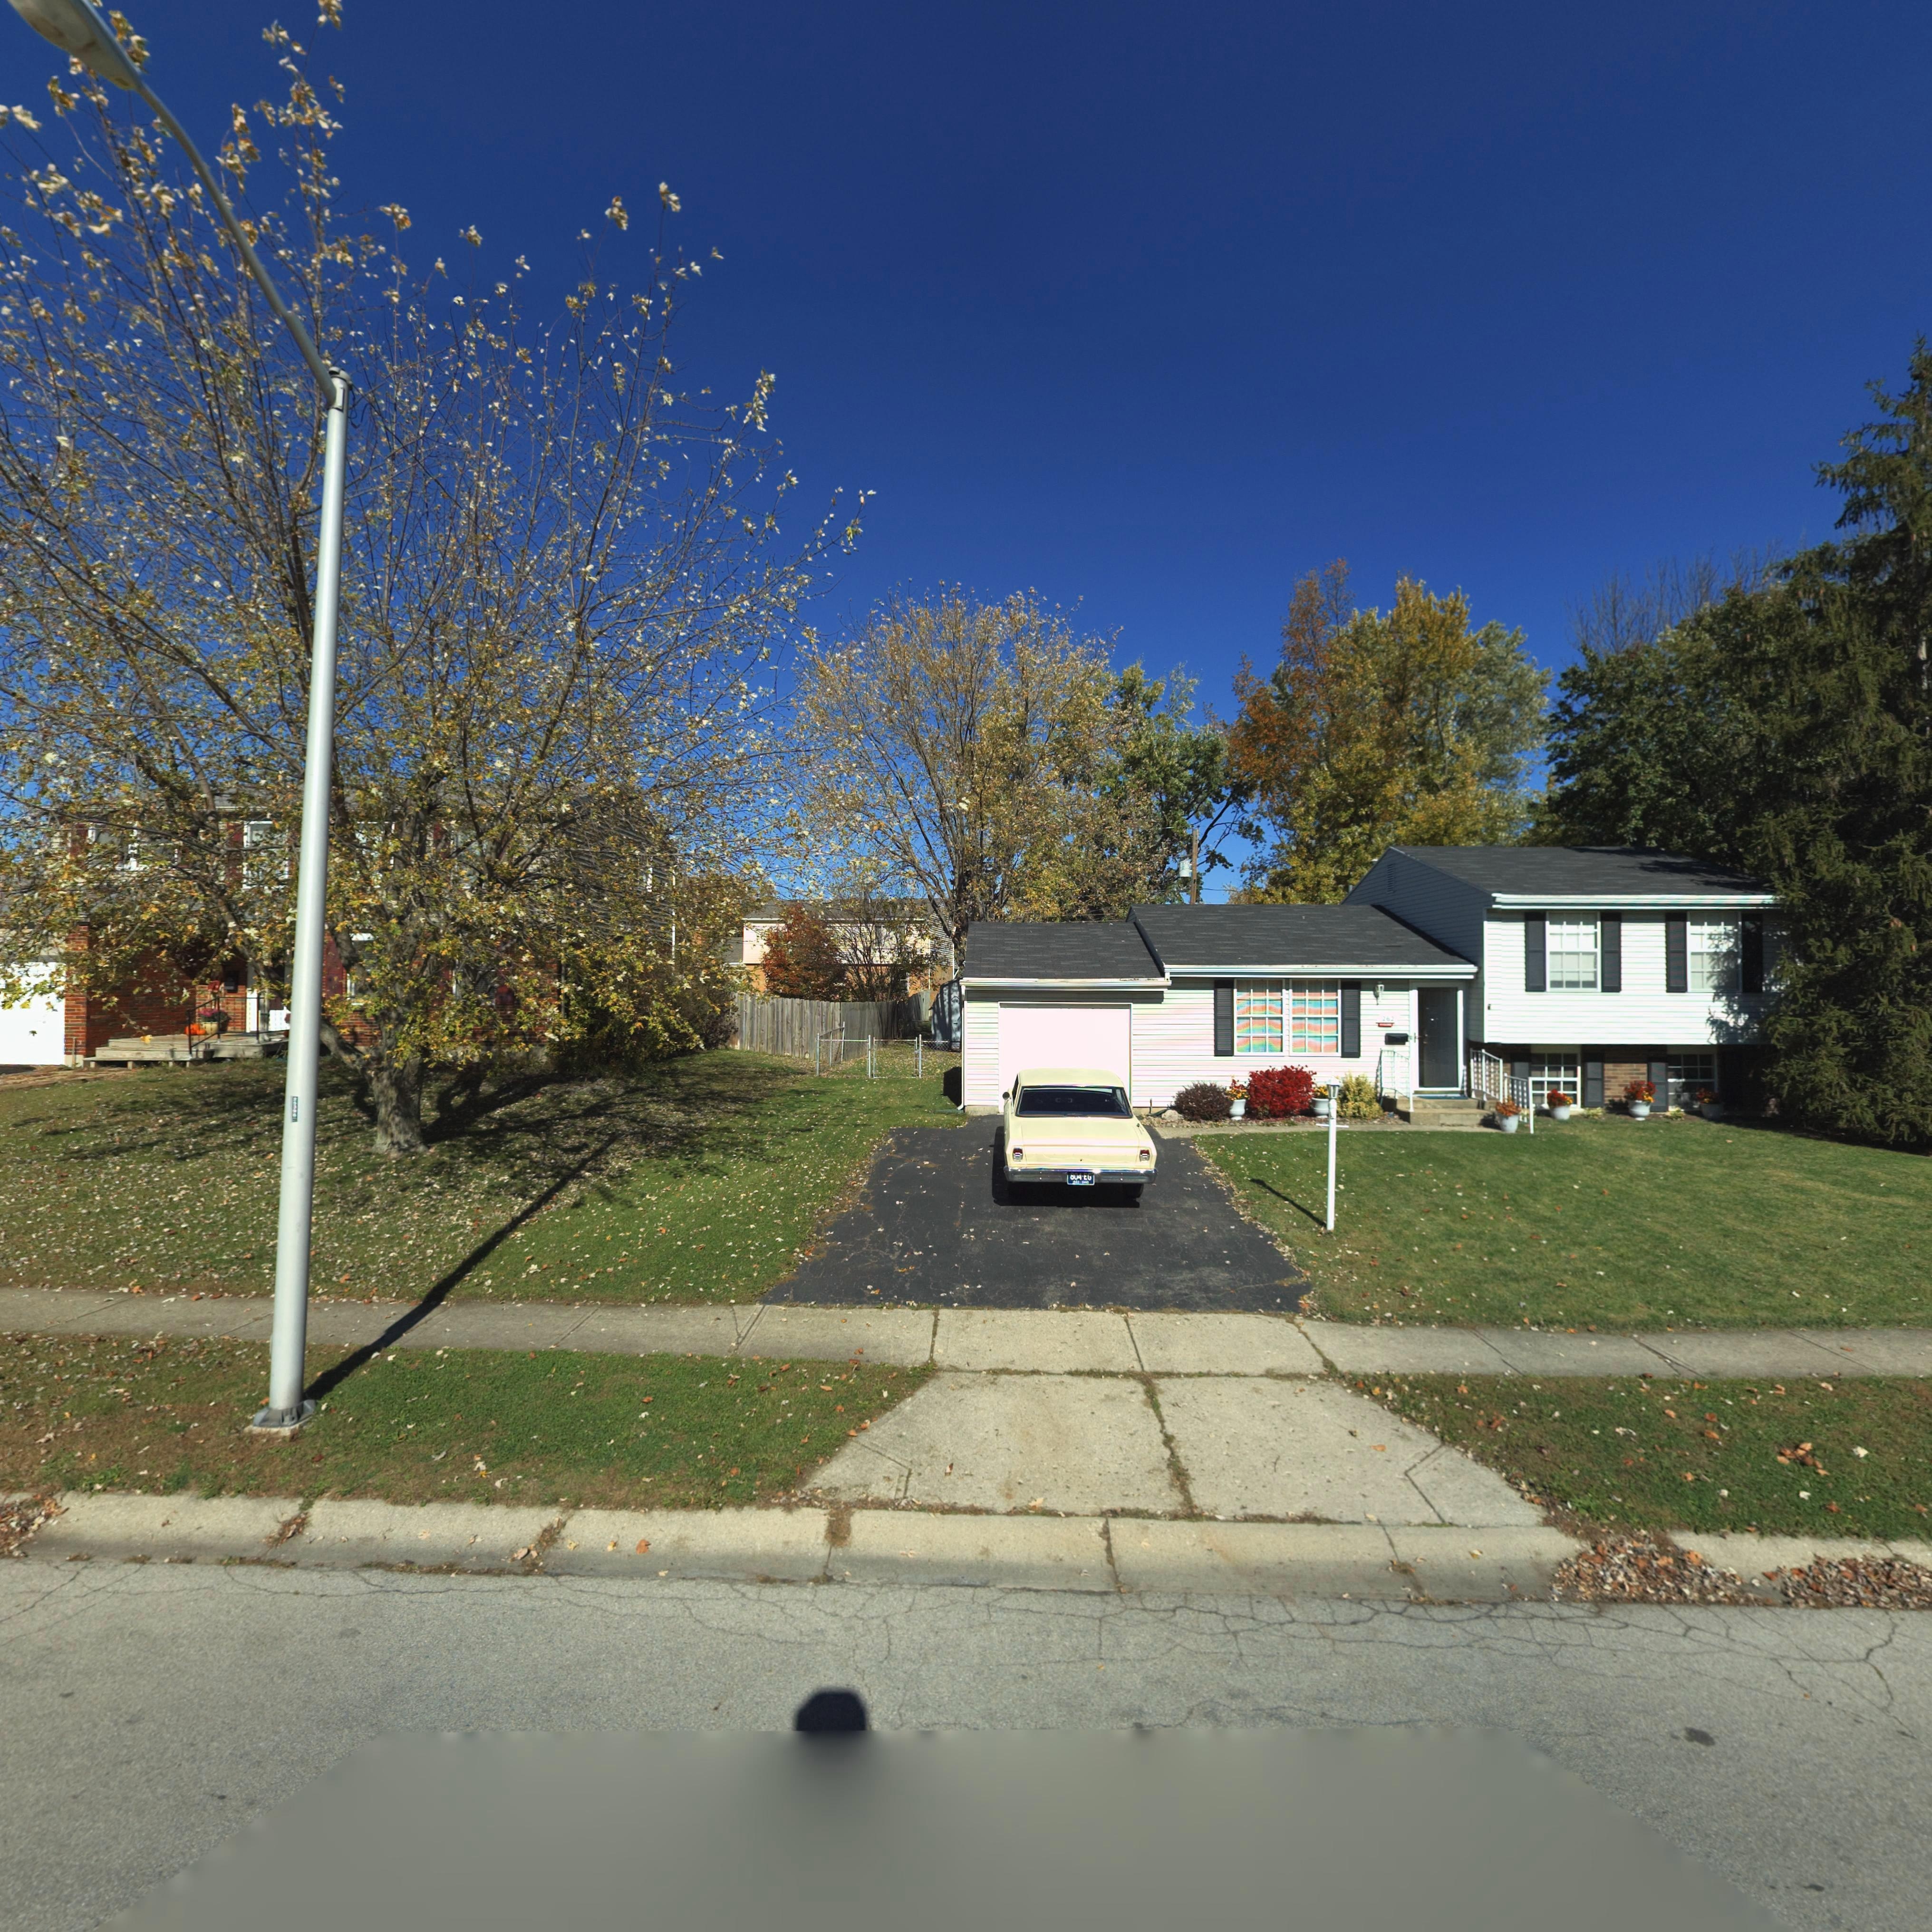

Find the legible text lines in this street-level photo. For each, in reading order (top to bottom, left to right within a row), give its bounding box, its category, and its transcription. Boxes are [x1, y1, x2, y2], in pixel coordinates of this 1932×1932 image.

[1382, 1015, 1394, 1021] StreetNumber: 262